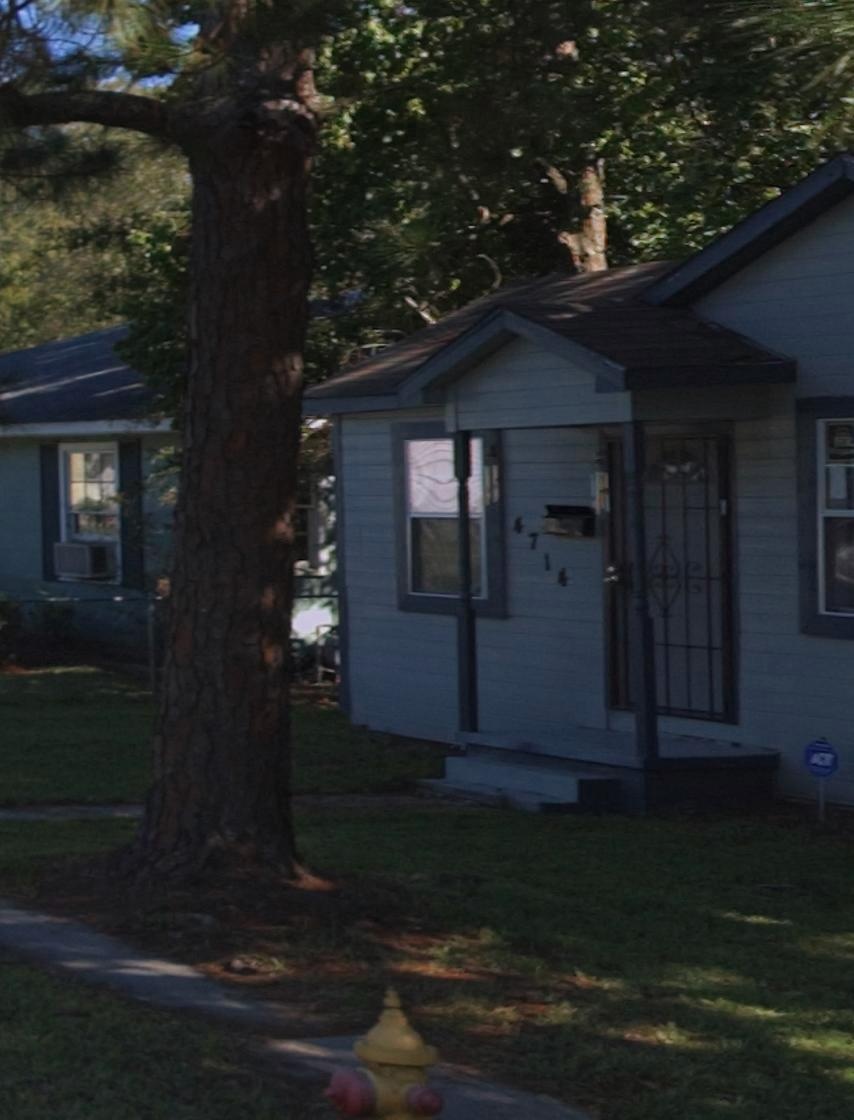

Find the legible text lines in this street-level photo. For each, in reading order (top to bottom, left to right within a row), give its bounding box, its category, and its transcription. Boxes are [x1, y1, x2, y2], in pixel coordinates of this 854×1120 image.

[512, 514, 571, 594] StreetNumber: 4714
[807, 751, 835, 767] None: ADT